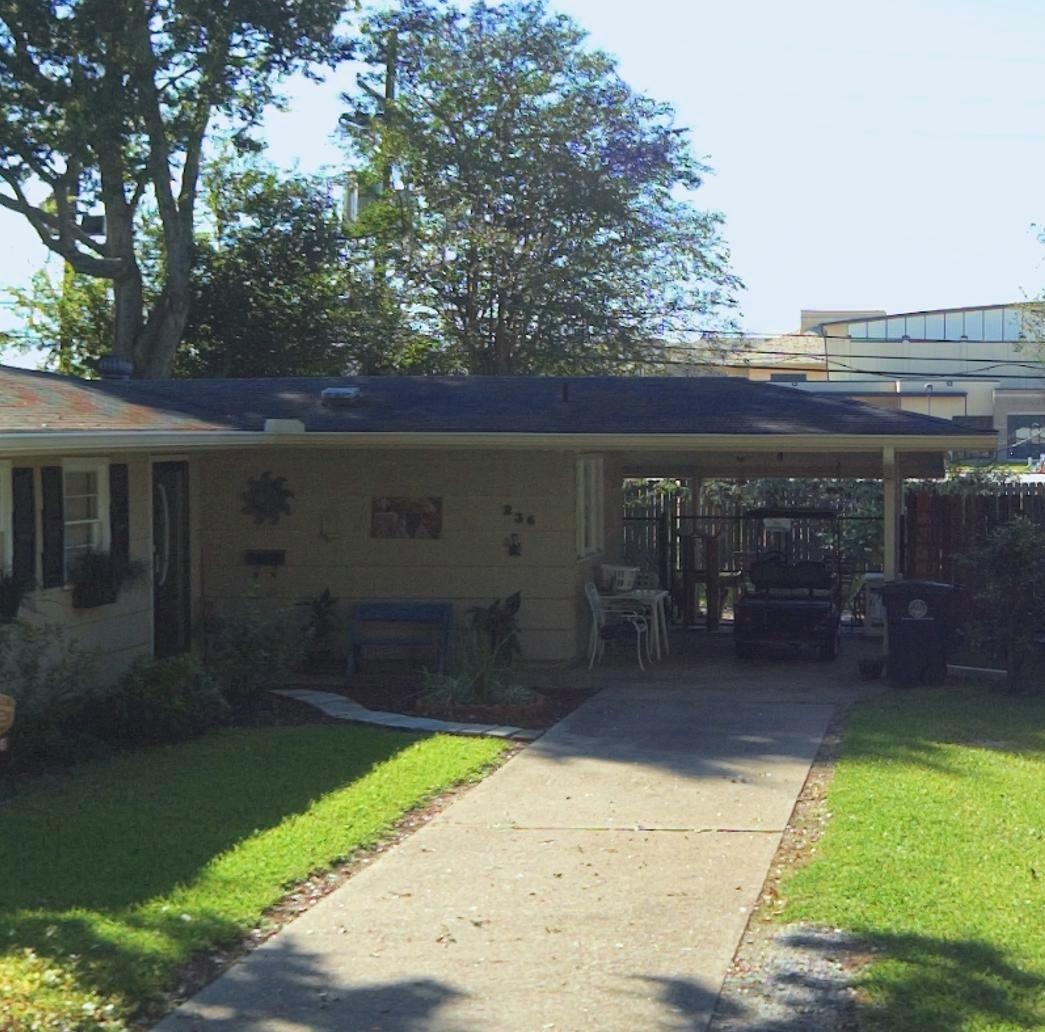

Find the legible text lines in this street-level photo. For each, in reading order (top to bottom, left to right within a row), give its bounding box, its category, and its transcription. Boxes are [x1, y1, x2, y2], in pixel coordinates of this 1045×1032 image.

[500, 503, 537, 527] StreetNumber: 236